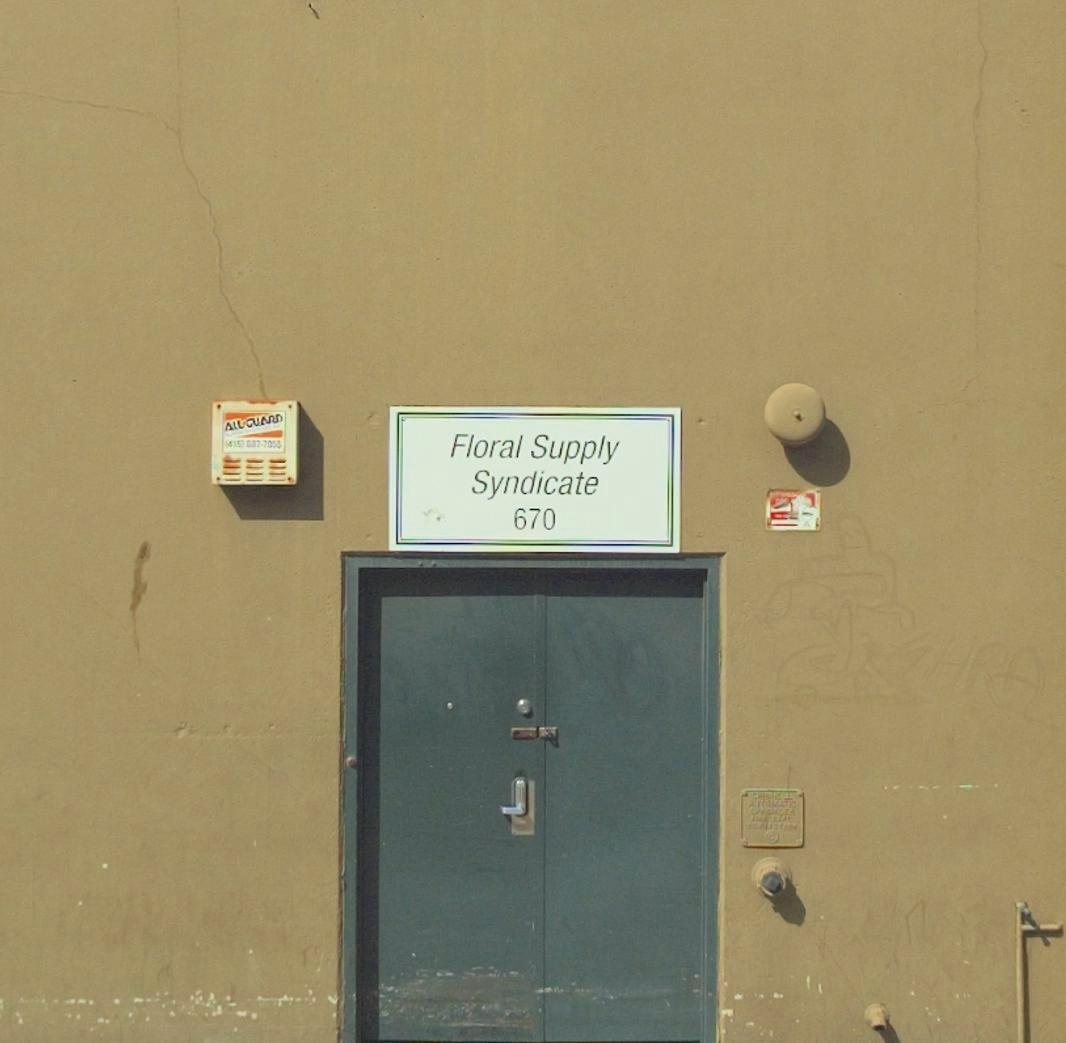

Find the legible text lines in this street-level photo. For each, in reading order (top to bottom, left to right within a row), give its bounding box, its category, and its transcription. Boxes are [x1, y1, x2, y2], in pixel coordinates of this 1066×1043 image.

[219, 409, 287, 436] None: ALL*GUARD
[225, 438, 285, 451] None: (415) **7-705*
[442, 429, 627, 471] BusinessName: Floral Supply
[466, 466, 603, 505] BusinessName: Syndicate
[511, 505, 561, 534] StreetNumber: 670